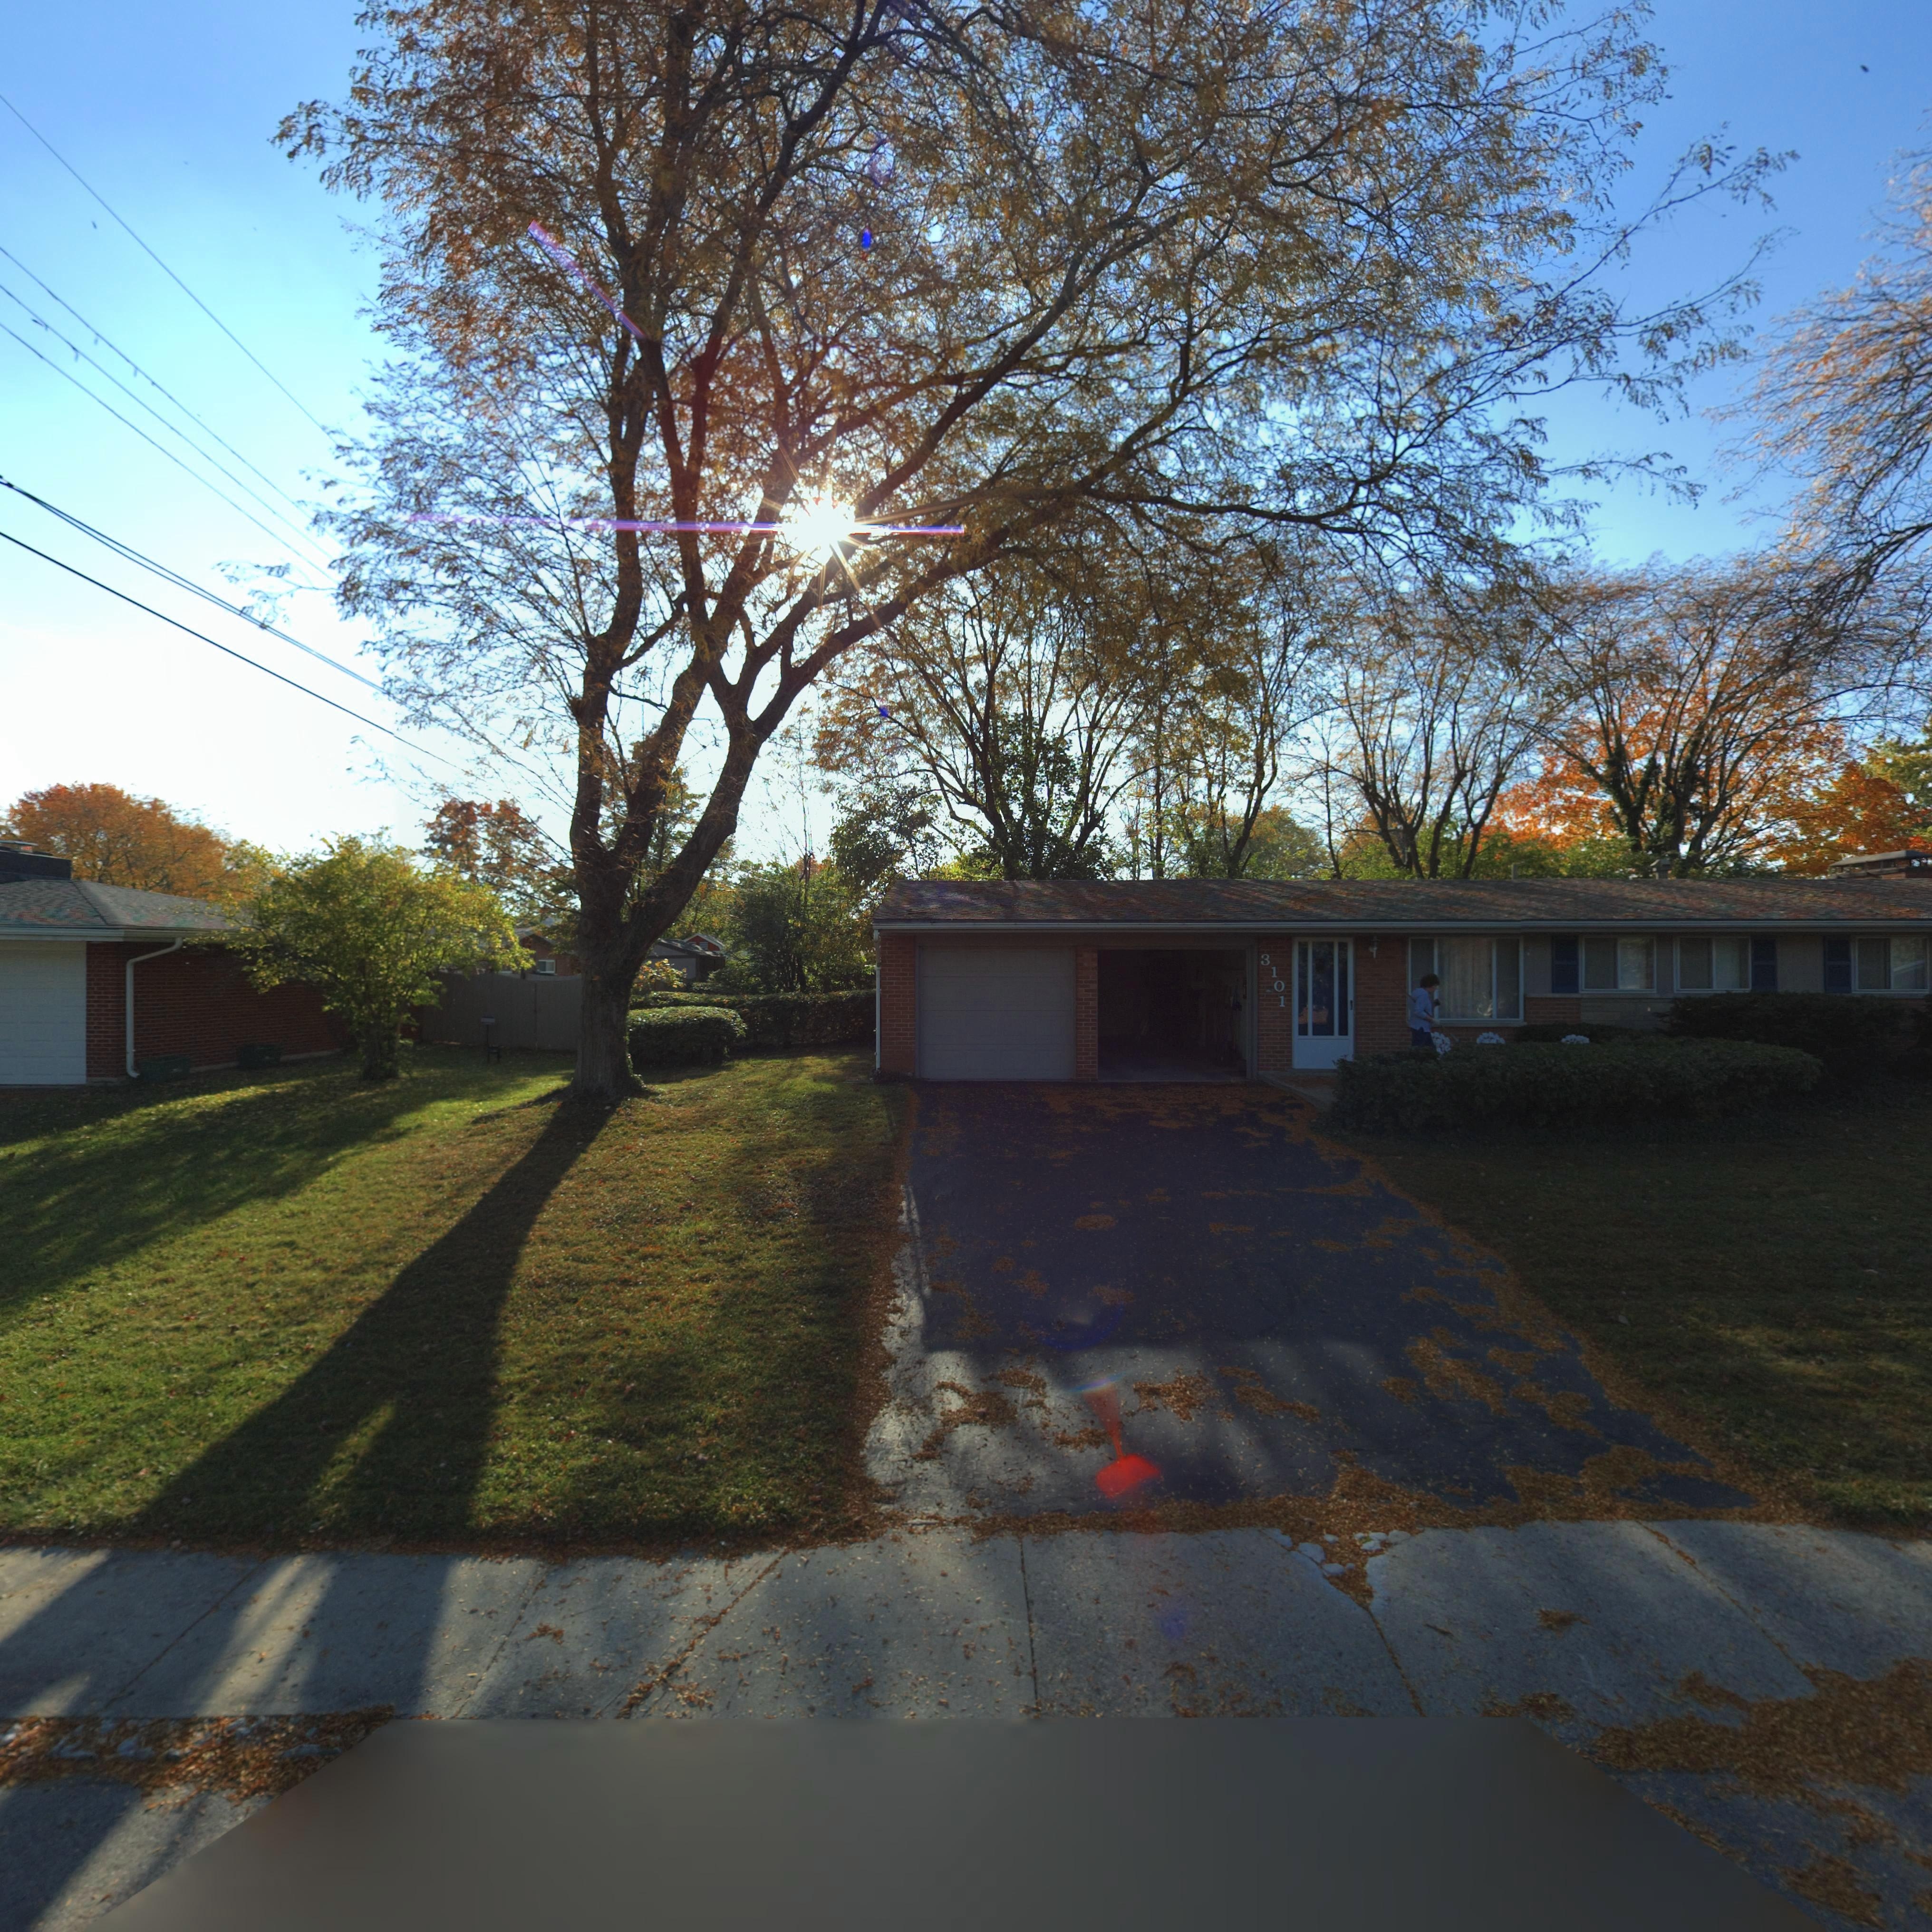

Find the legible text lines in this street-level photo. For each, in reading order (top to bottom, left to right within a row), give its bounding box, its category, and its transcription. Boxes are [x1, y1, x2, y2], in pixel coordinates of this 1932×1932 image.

[1259, 953, 1286, 1008] StreetNumber: 3101